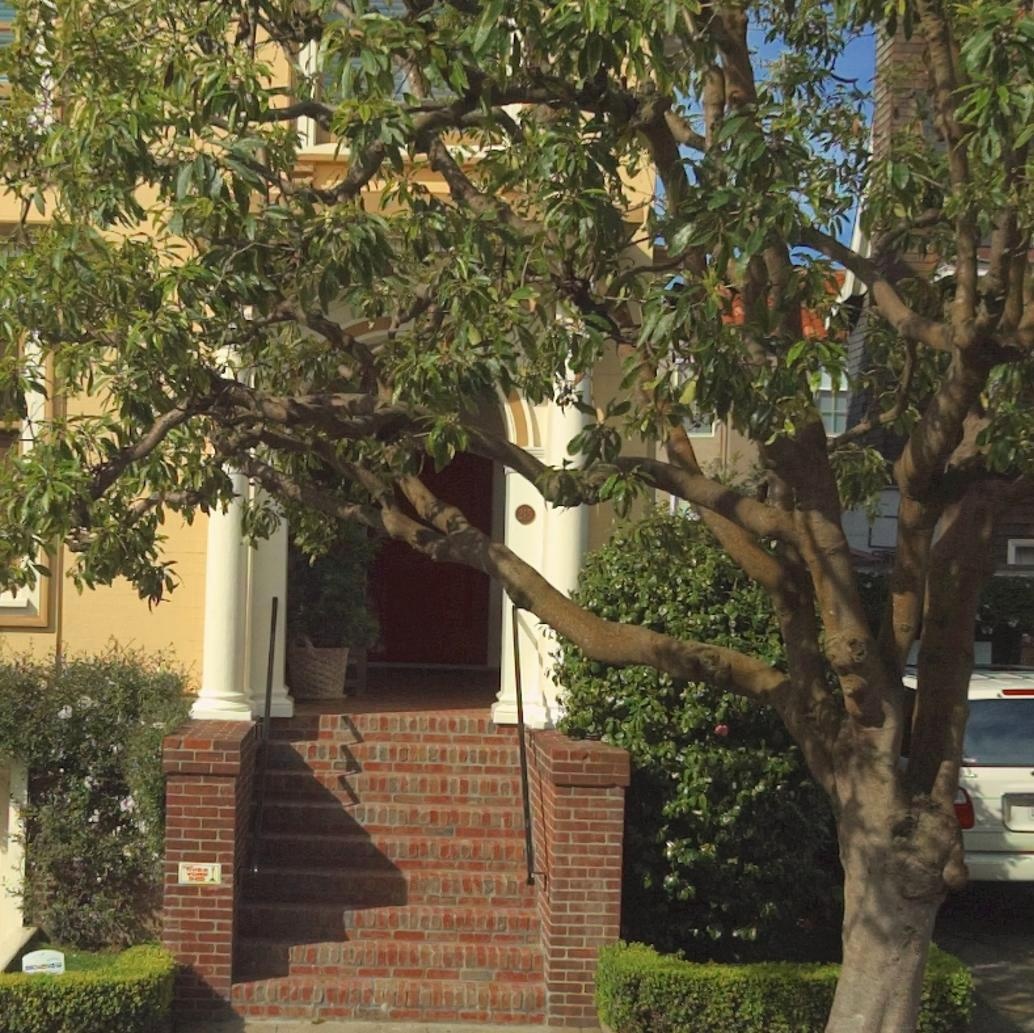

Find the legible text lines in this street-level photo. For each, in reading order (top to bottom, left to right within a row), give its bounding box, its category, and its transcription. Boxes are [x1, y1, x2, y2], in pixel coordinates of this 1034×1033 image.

[515, 507, 535, 522] StreetNumber: 21*